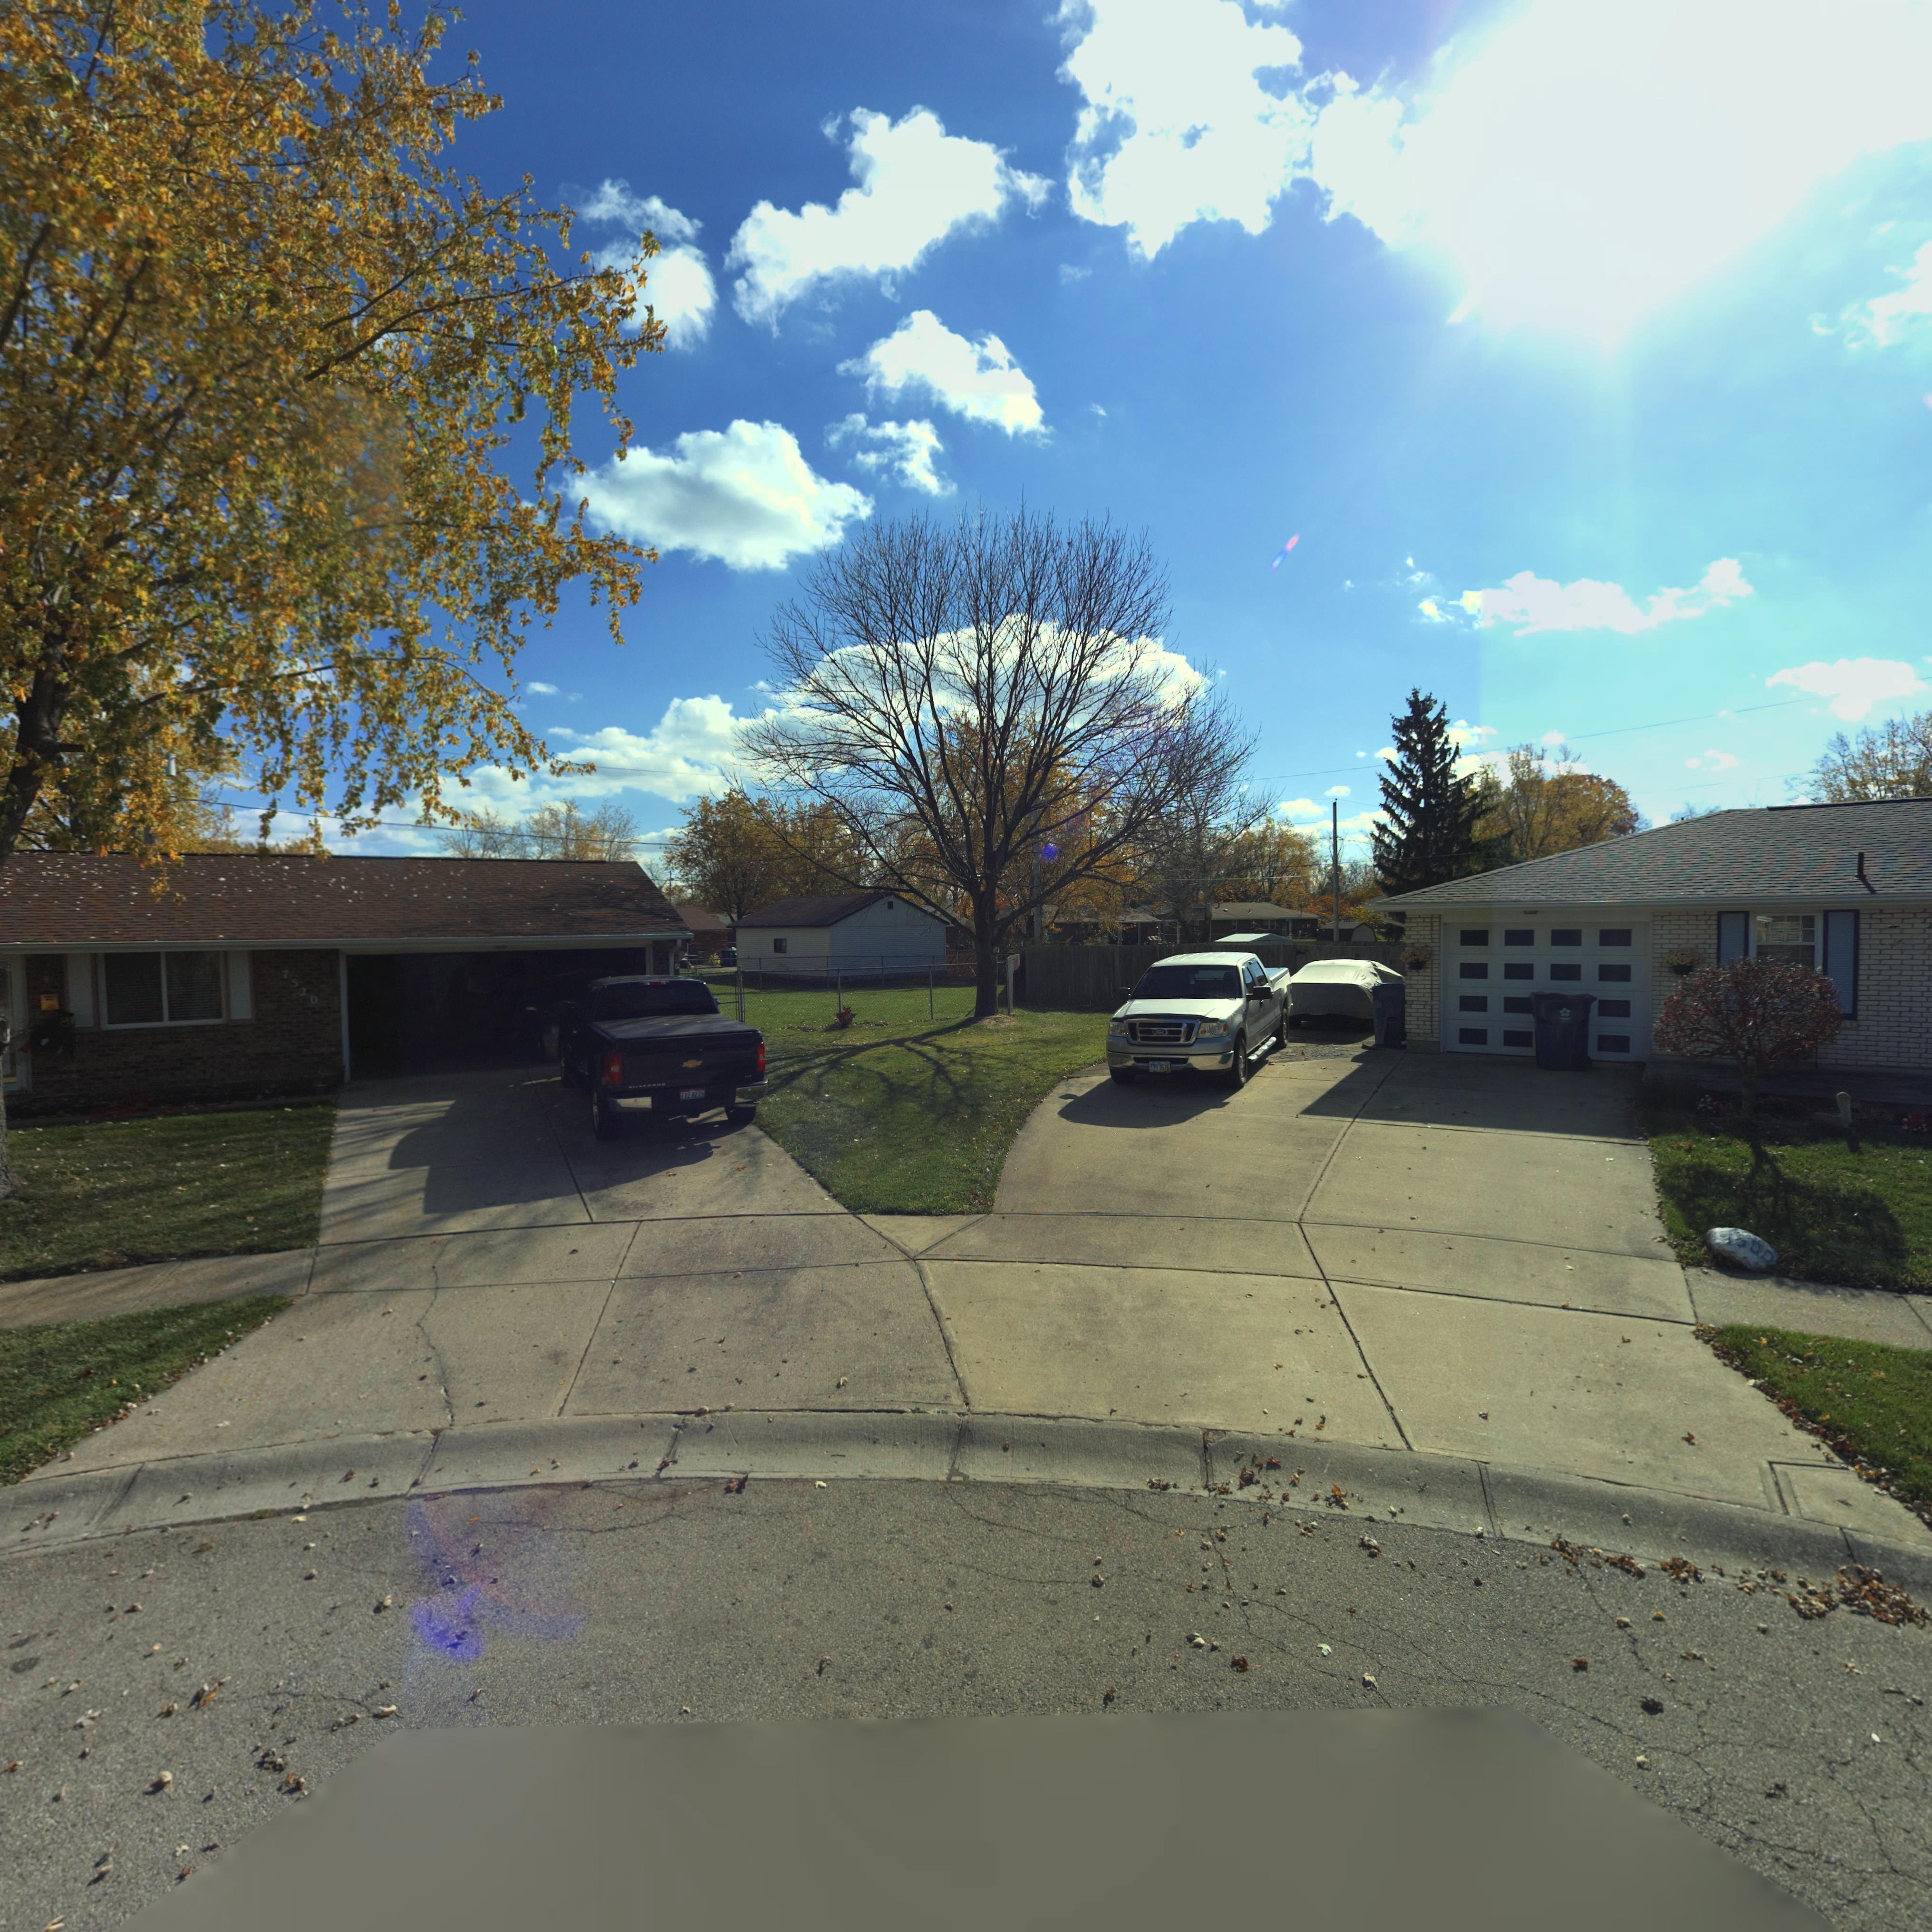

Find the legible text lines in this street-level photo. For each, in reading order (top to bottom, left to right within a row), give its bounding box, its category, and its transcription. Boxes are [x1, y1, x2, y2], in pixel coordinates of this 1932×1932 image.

[281, 969, 319, 1006] StreetNumber: 7520